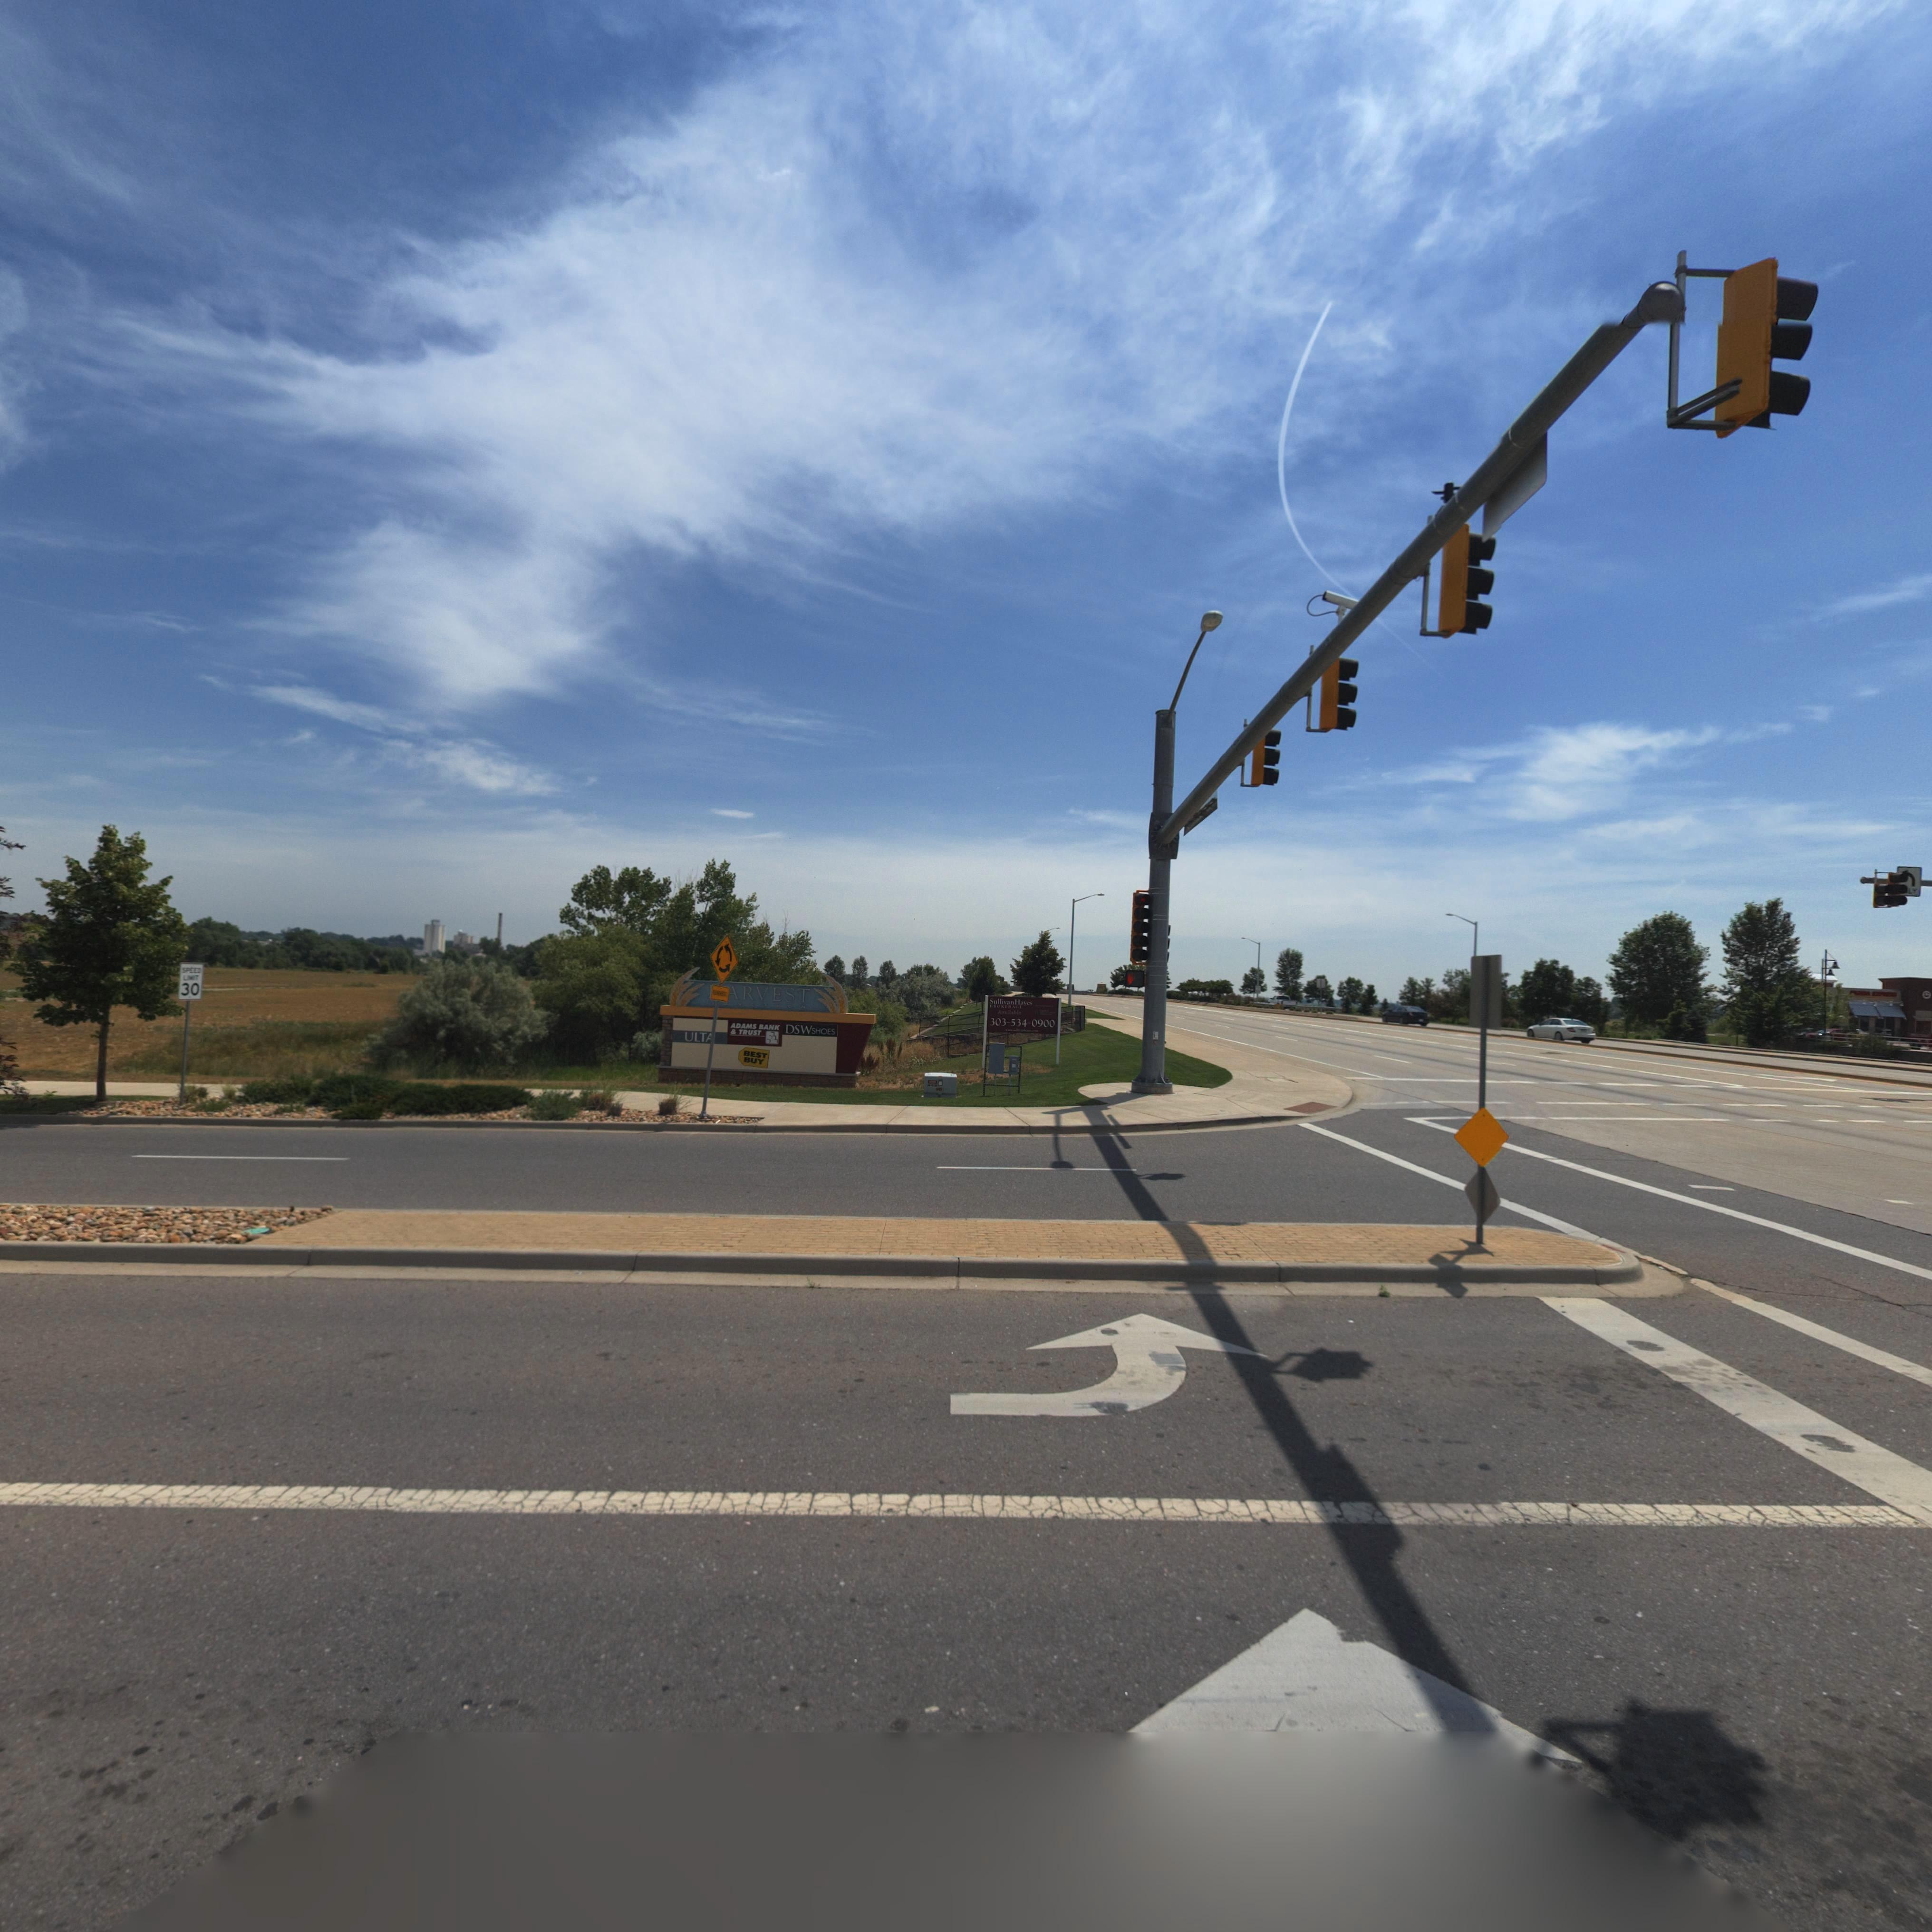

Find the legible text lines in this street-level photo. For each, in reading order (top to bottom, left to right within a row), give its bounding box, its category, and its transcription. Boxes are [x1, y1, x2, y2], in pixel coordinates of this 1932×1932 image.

[729, 1028, 762, 1035] BusinessName: * TRUST
[730, 1022, 780, 1031] BusinessName: ADAMS BANK
[785, 1024, 835, 1035] BusinessName: DSW SHOES
[684, 1031, 712, 1043] BusinessName: ULT*
[743, 1050, 767, 1059] BusinessName: BEST
[743, 1056, 765, 1064] BusinessName: BUY